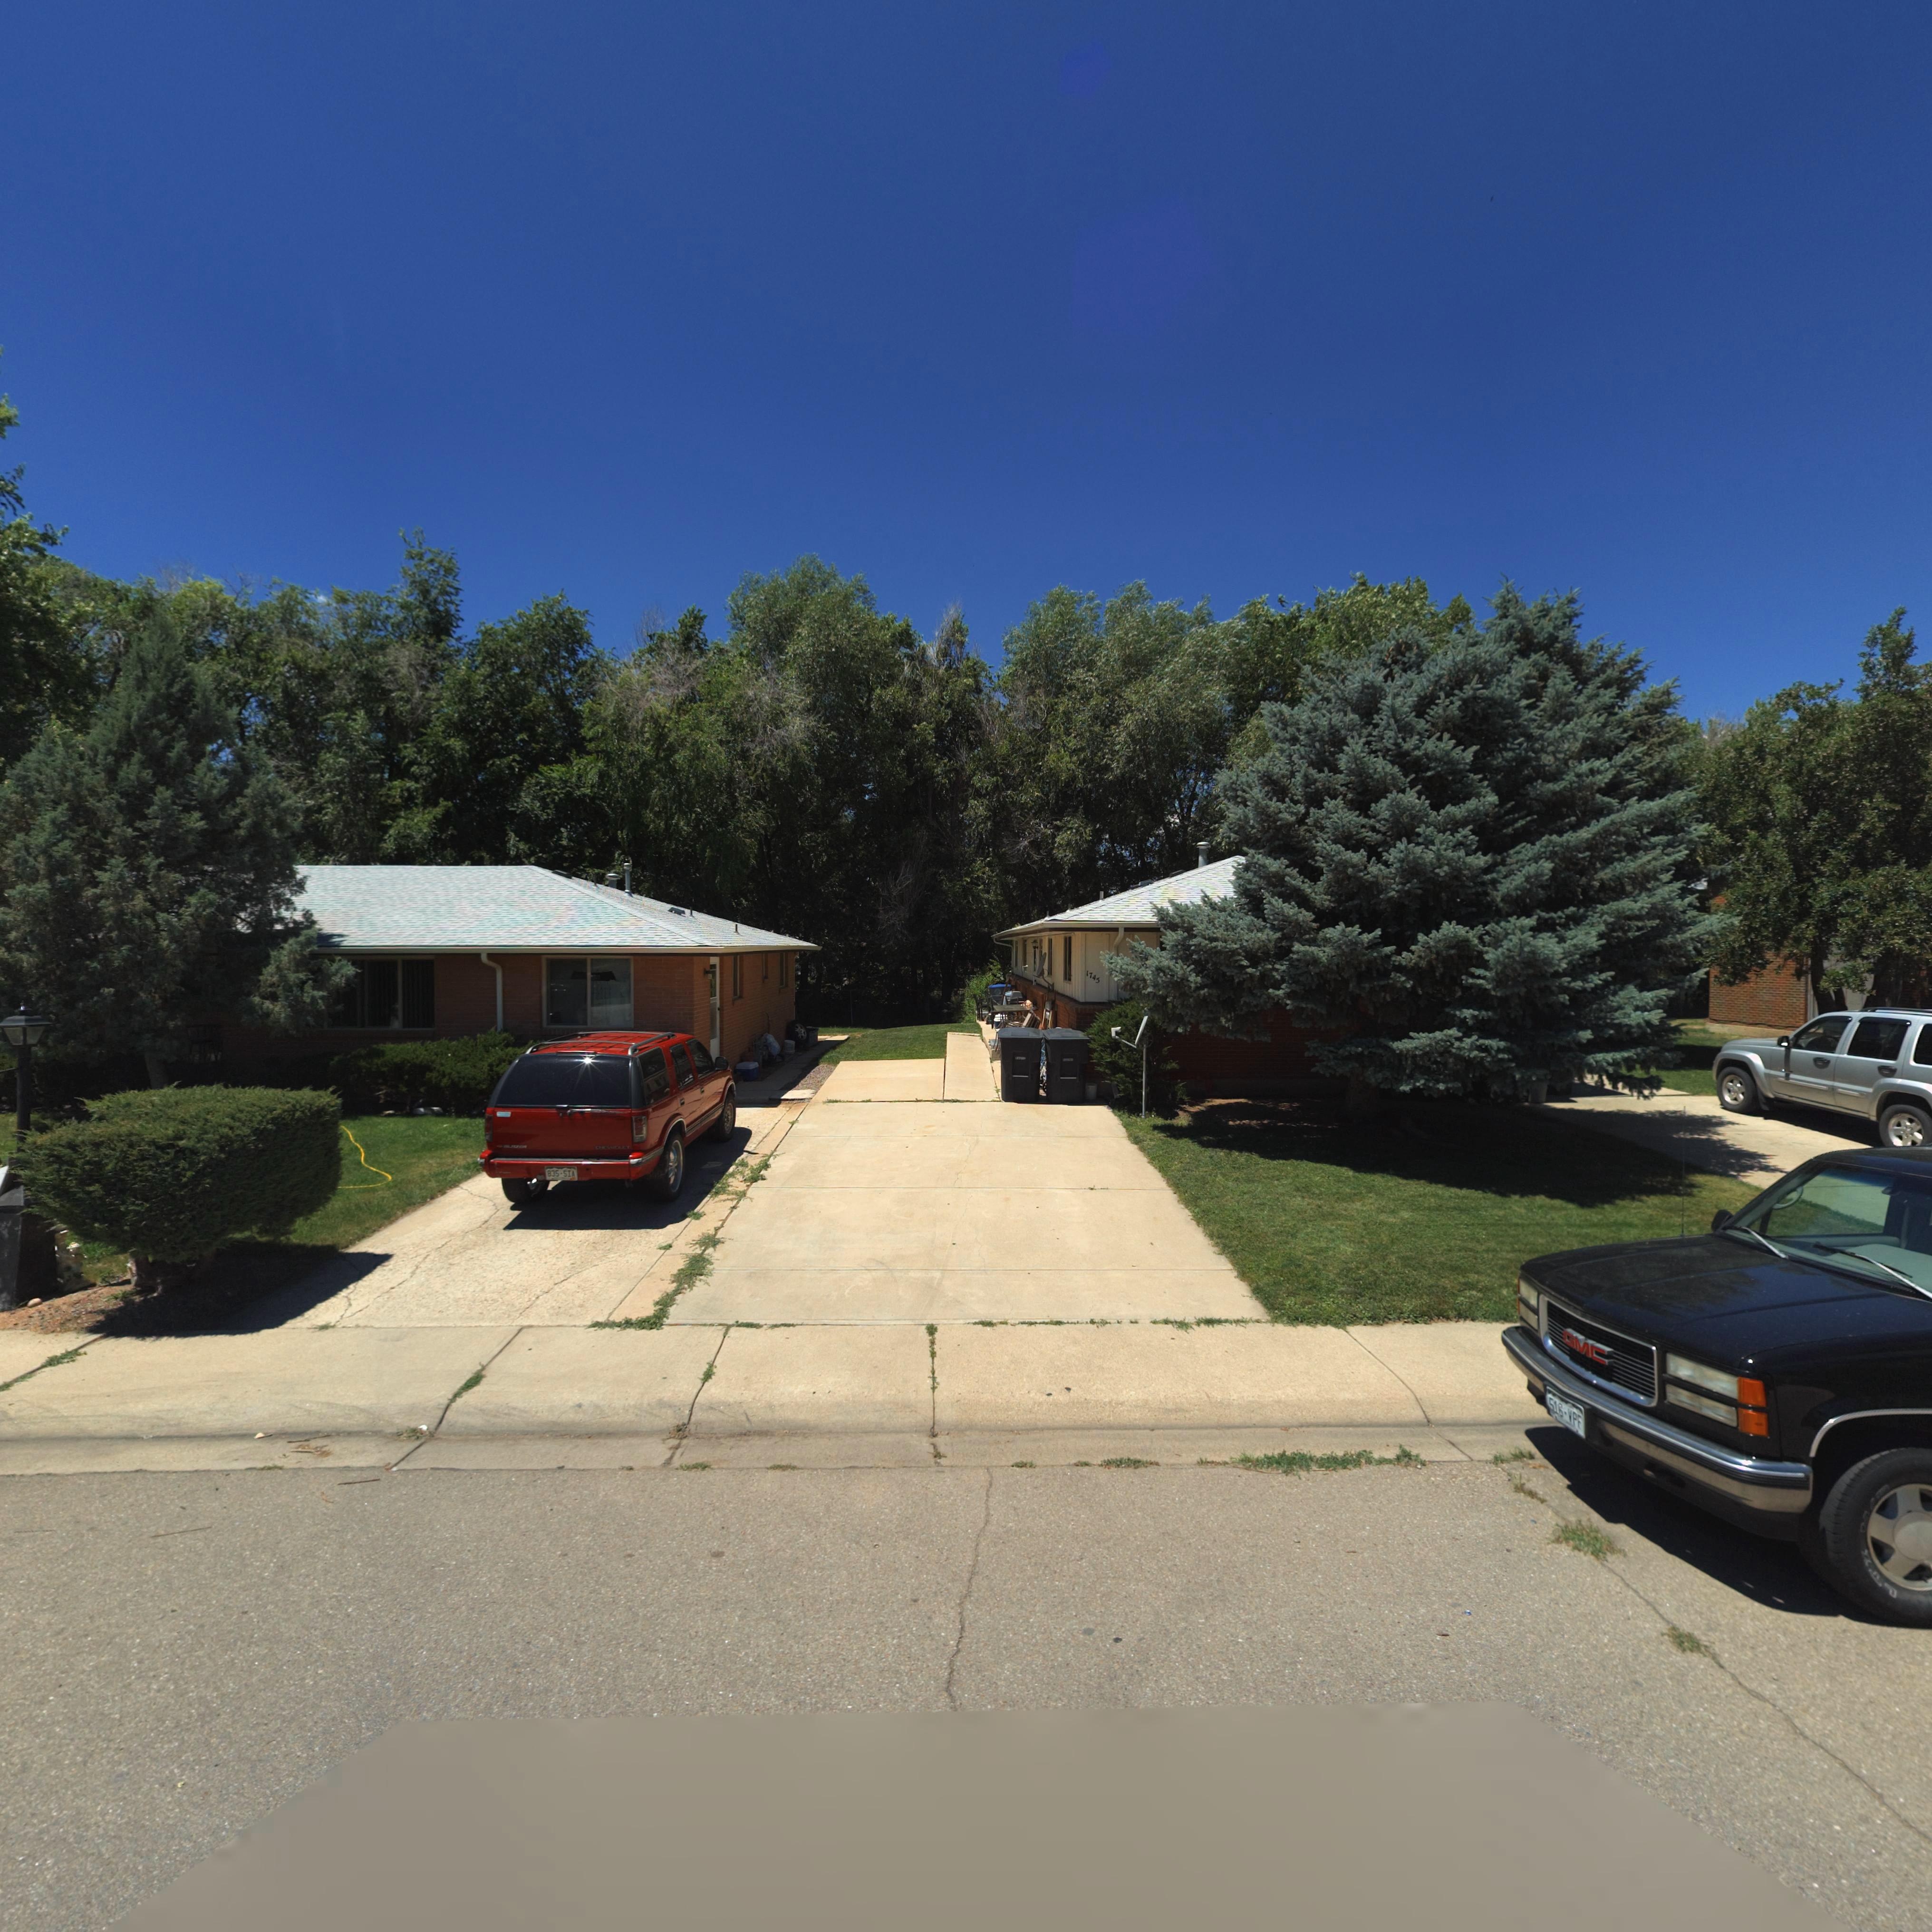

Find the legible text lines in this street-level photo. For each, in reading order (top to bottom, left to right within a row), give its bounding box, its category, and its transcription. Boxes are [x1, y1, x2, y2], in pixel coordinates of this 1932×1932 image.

[1086, 970, 1100, 983] StreetNumber: 174